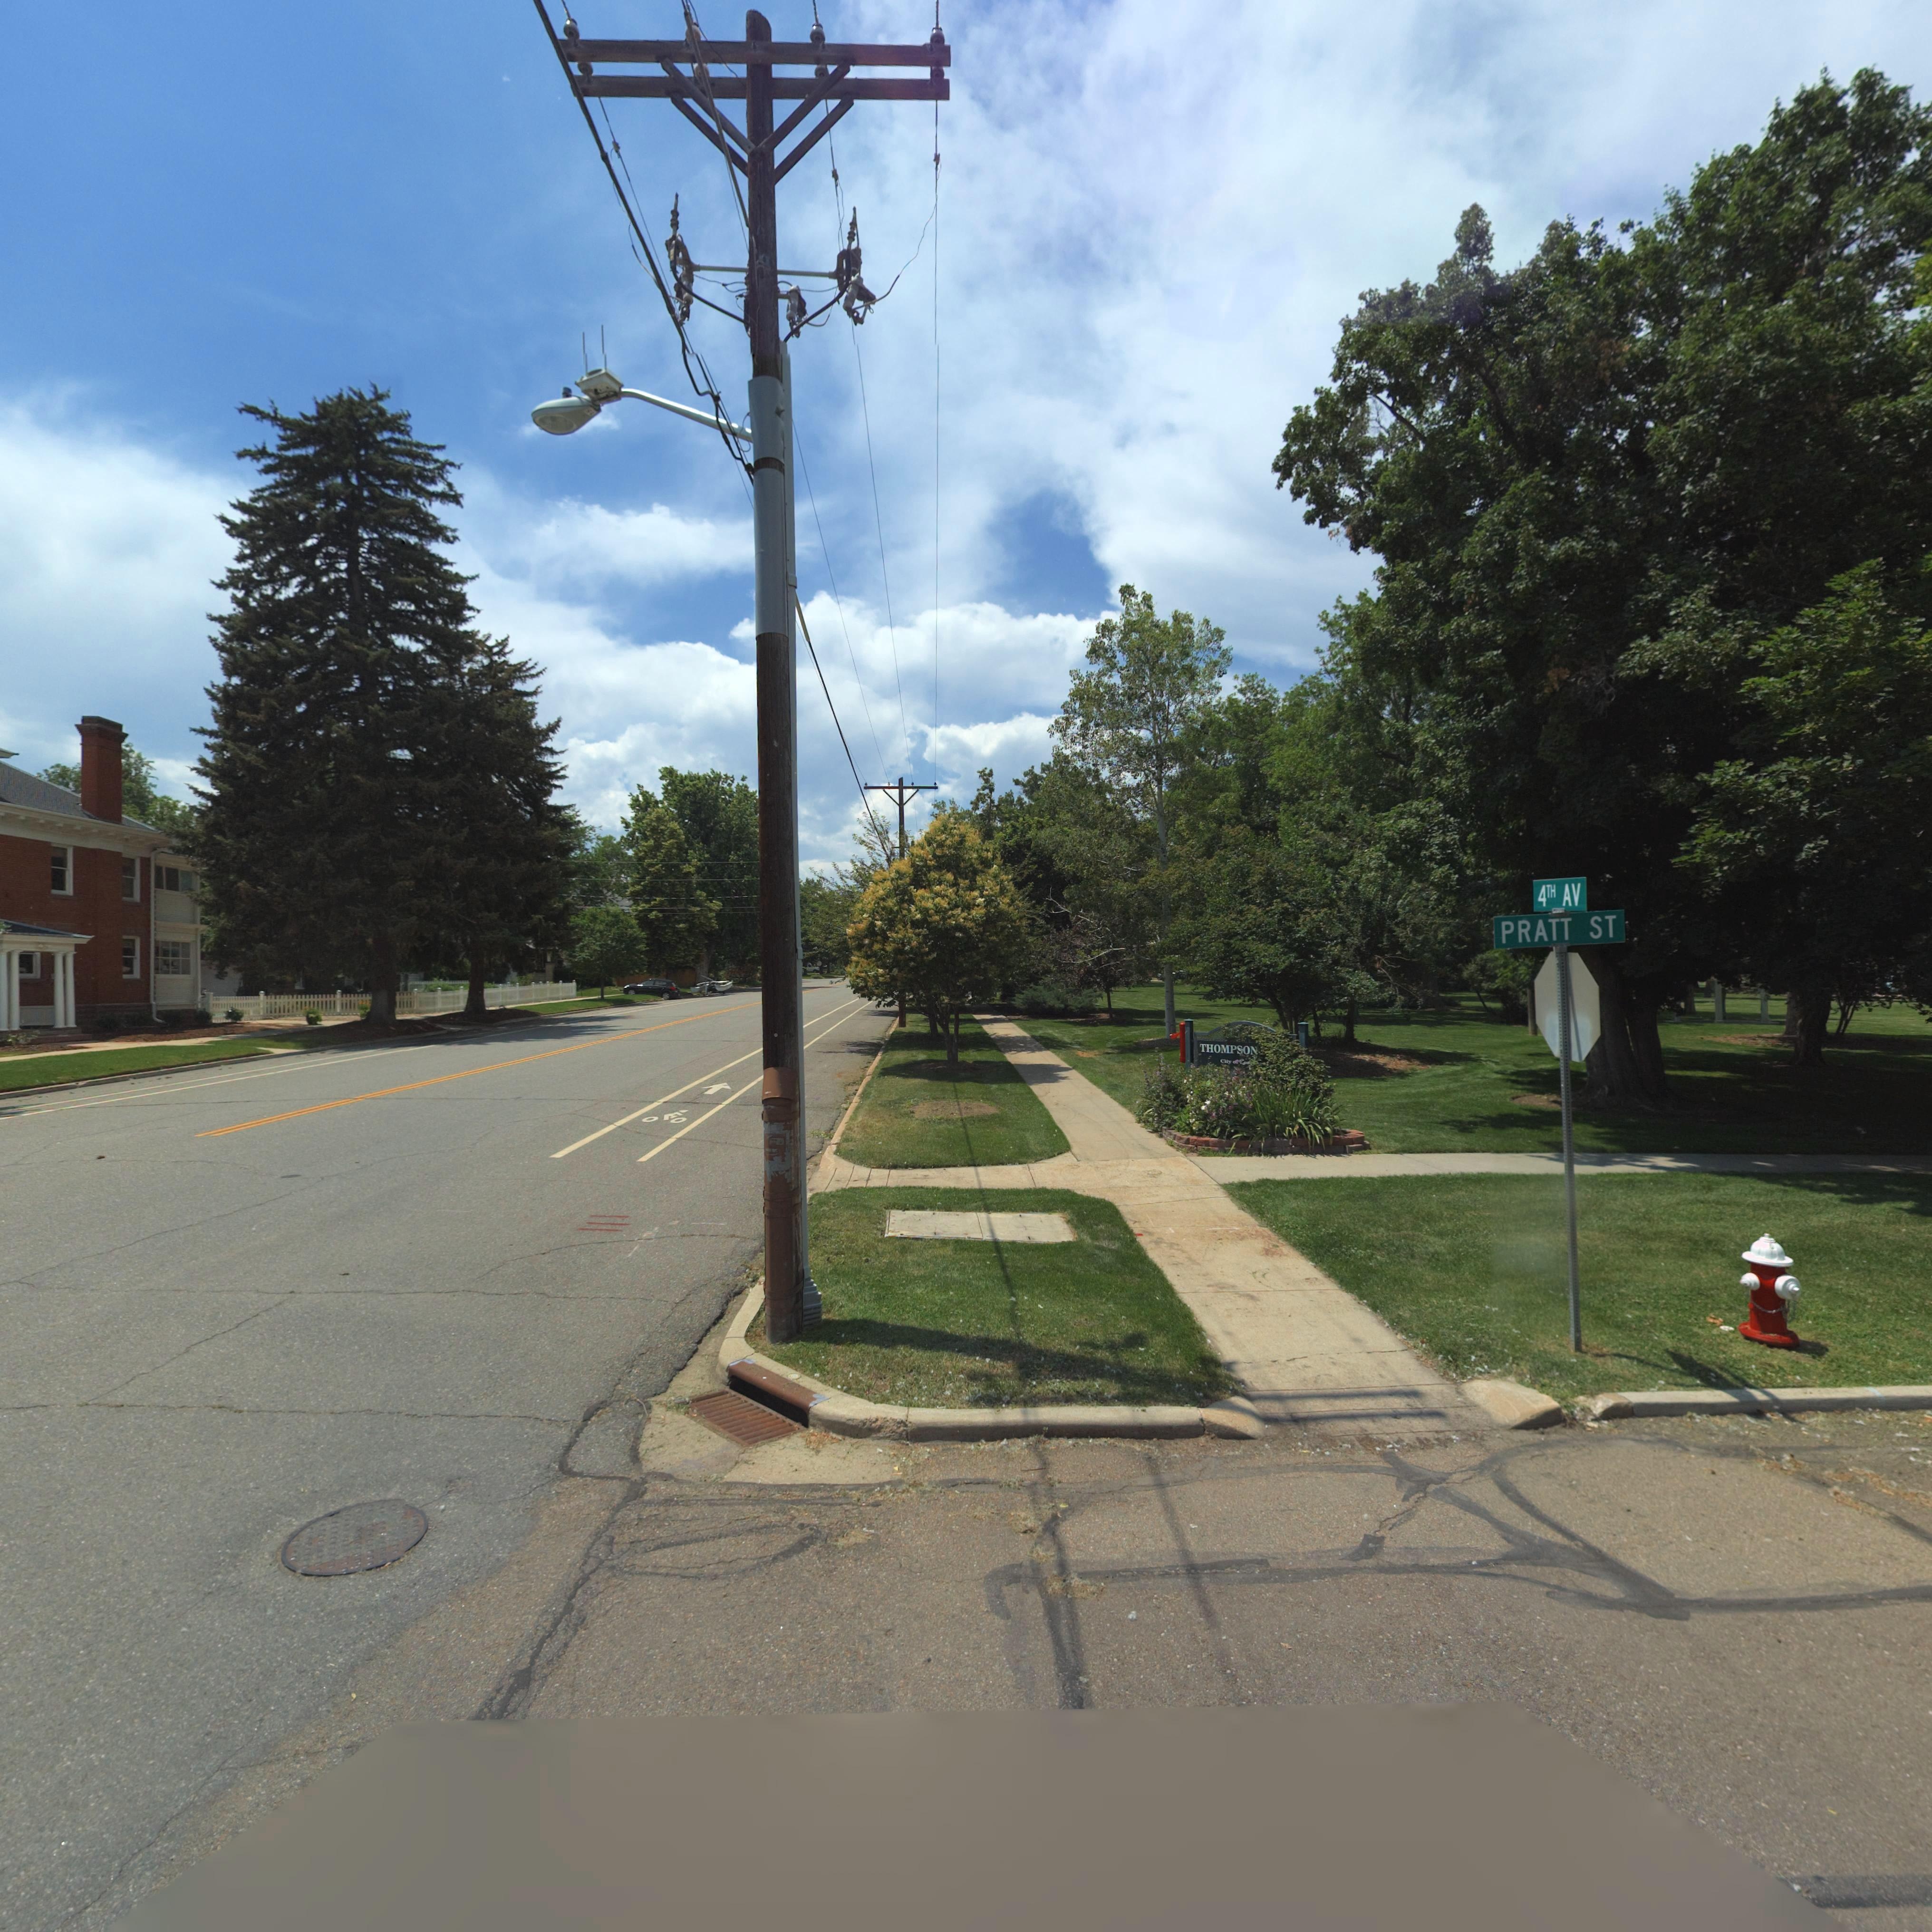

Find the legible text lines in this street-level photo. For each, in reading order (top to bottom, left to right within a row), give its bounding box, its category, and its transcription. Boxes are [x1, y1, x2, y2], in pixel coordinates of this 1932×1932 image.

[1537, 882, 1581, 907] StreetName: 4TH AV
[1501, 915, 1616, 944] StreetName: PRATT ST